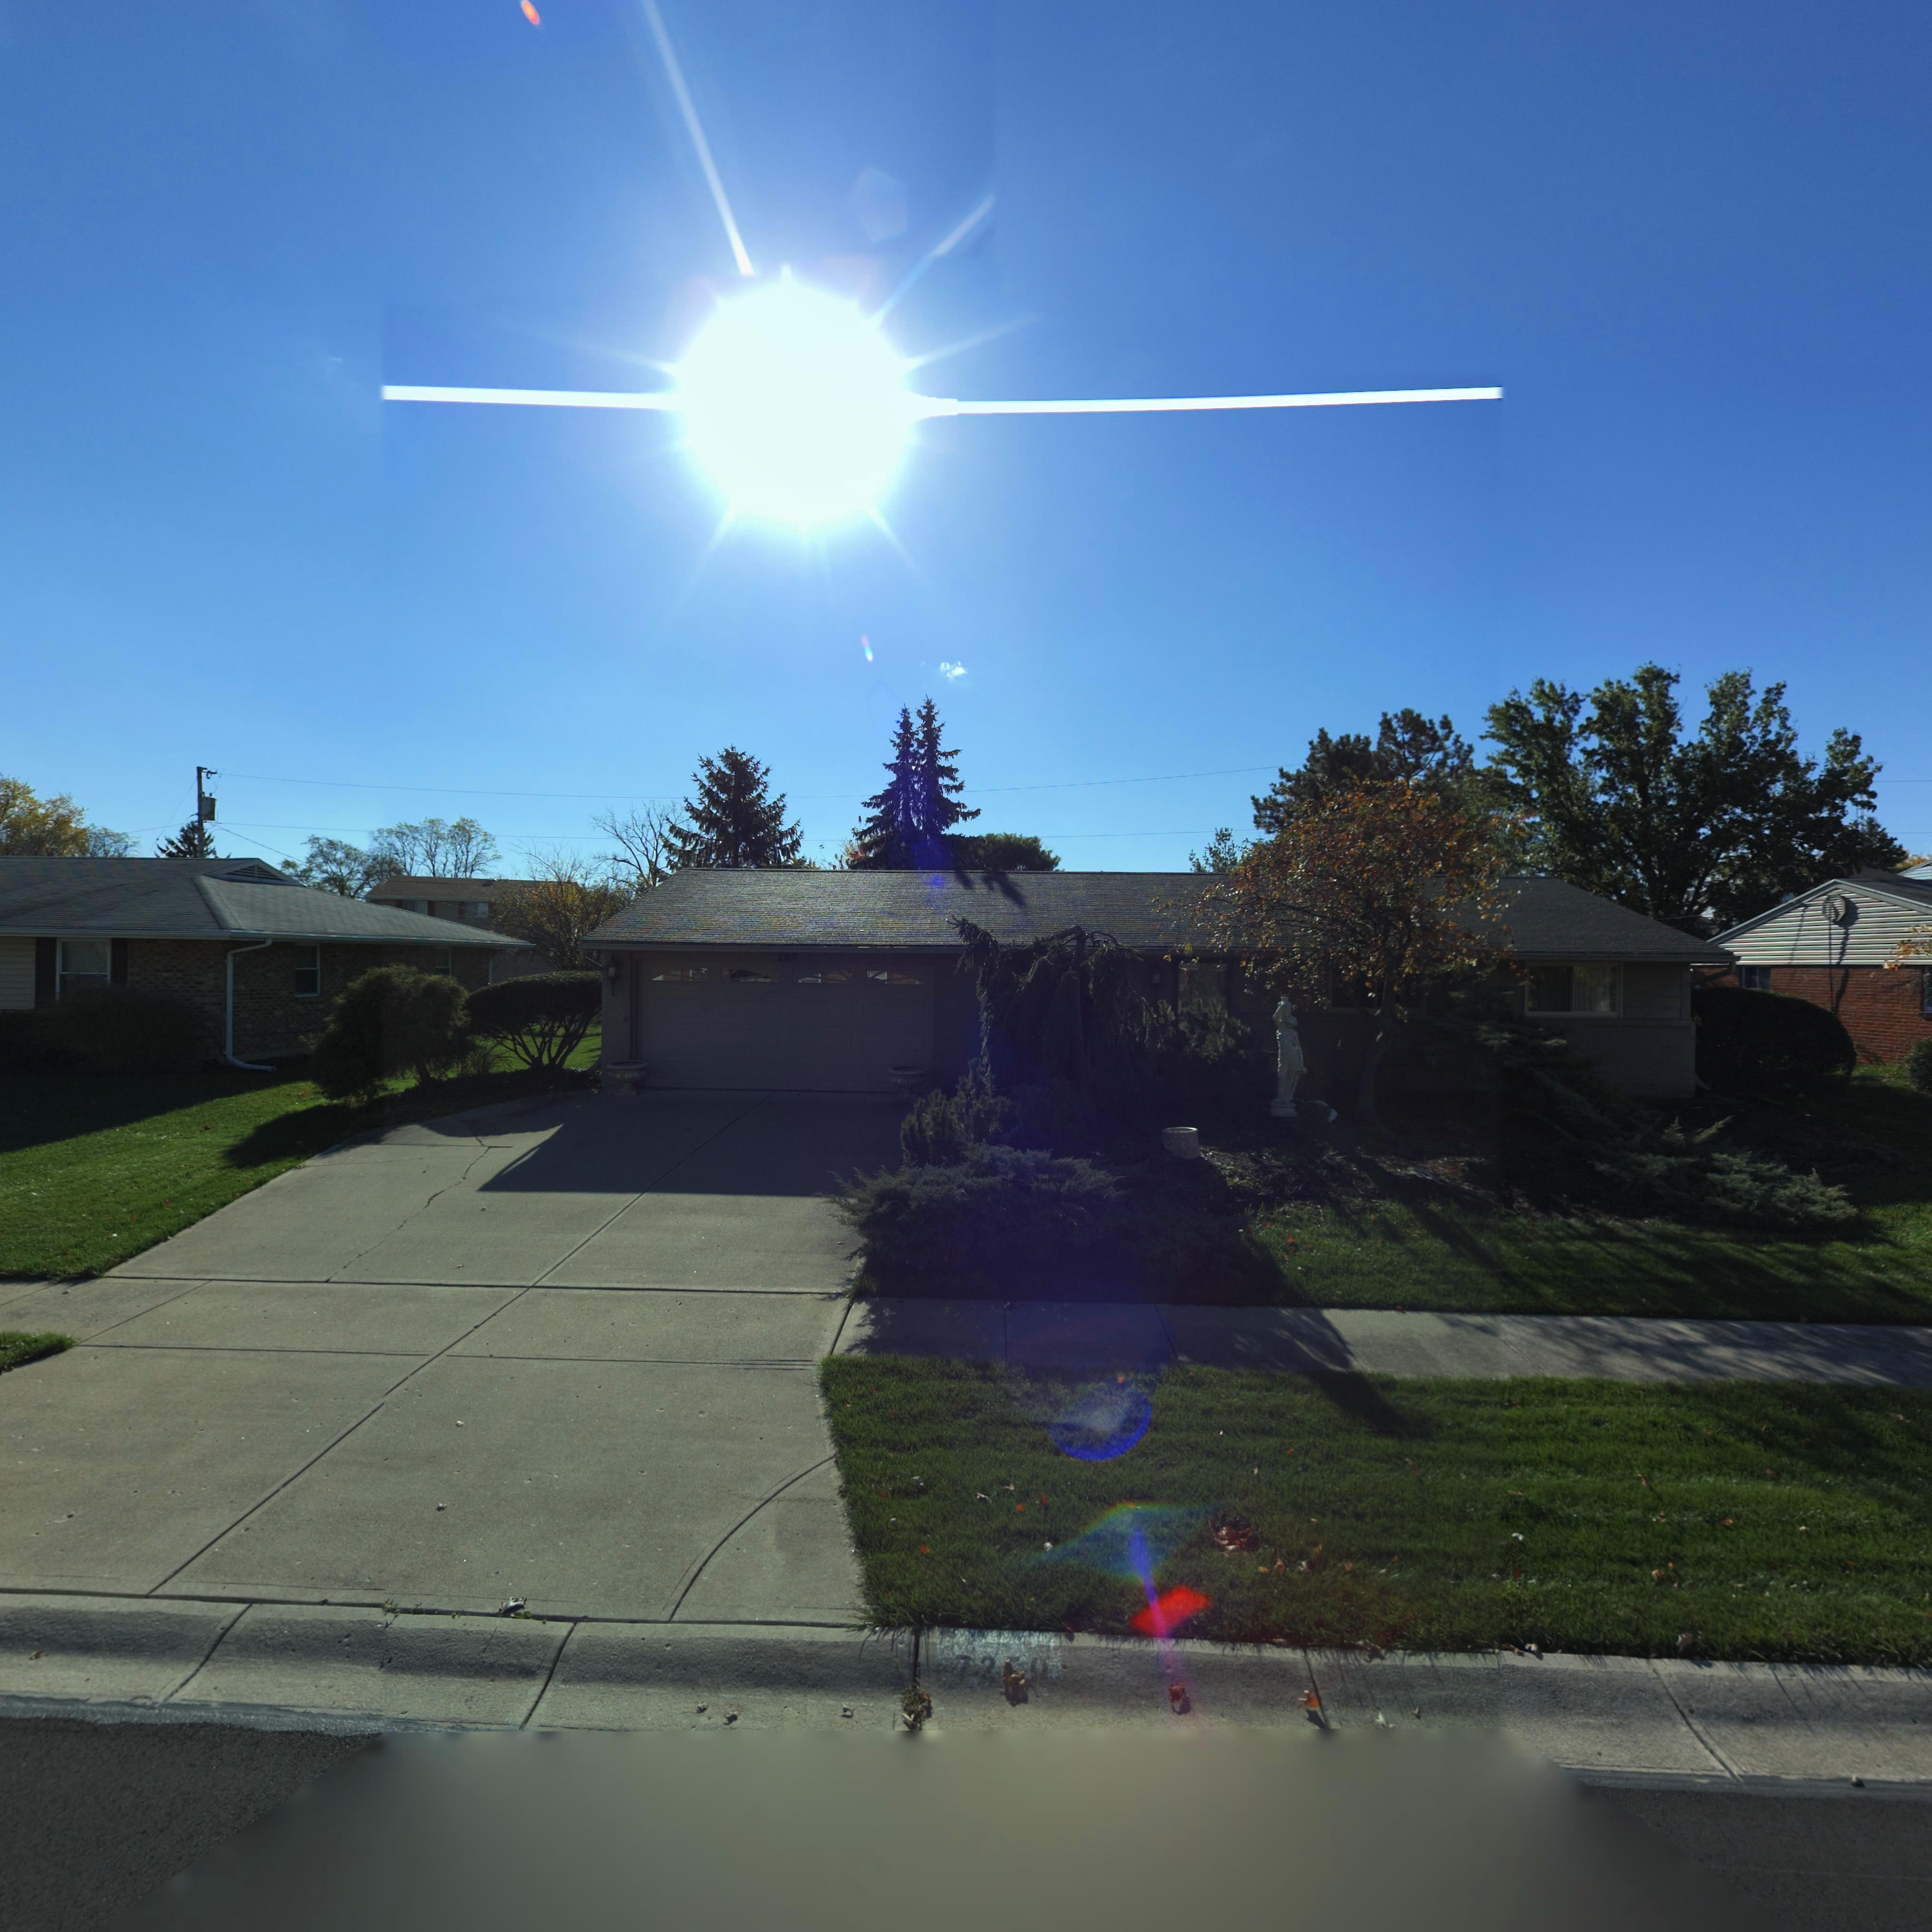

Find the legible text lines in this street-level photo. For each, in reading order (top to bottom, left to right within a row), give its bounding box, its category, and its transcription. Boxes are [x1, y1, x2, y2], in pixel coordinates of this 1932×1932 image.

[769, 951, 799, 963] StreetNumber: *250
[951, 1652, 1052, 1685] StreetNumber: 7***